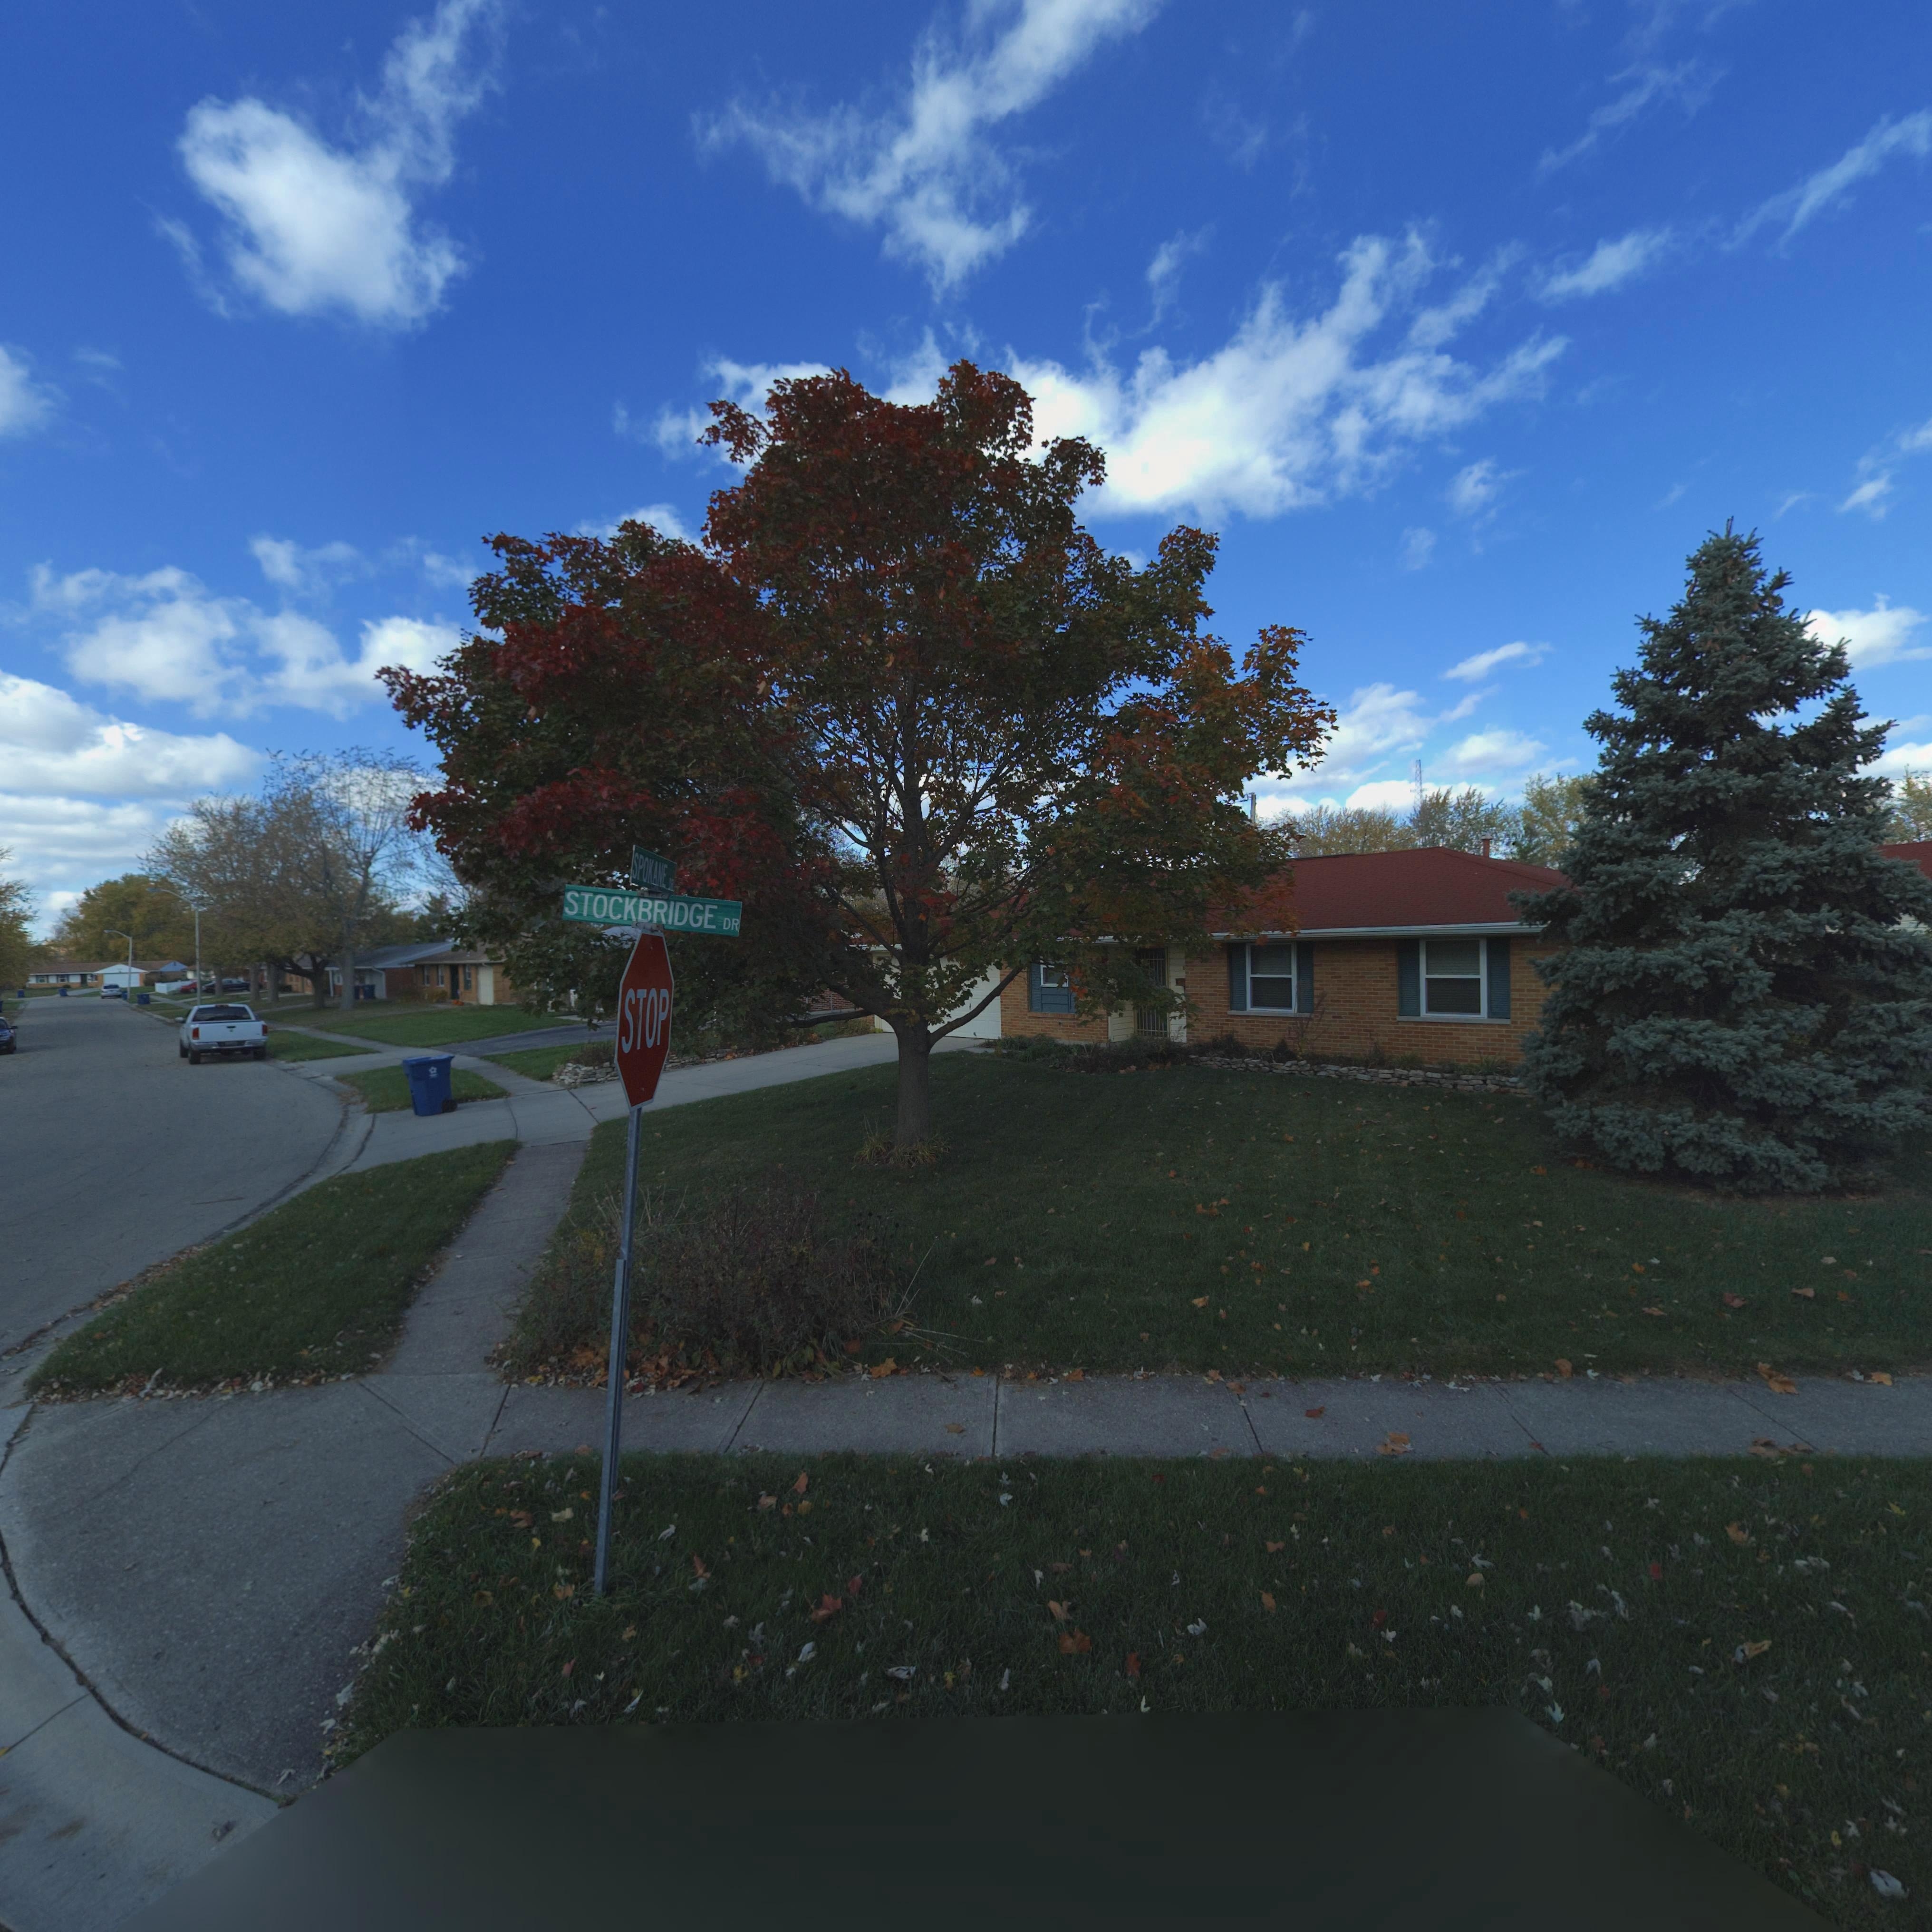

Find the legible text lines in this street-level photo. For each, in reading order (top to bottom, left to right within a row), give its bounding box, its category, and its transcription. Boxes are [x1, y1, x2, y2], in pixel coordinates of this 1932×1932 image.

[631, 851, 669, 890] StreetName: SPOKANE
[562, 889, 740, 932] StreetName: STOCKBRIDGE DR
[1182, 965, 1185, 970] StreetNumber: 6